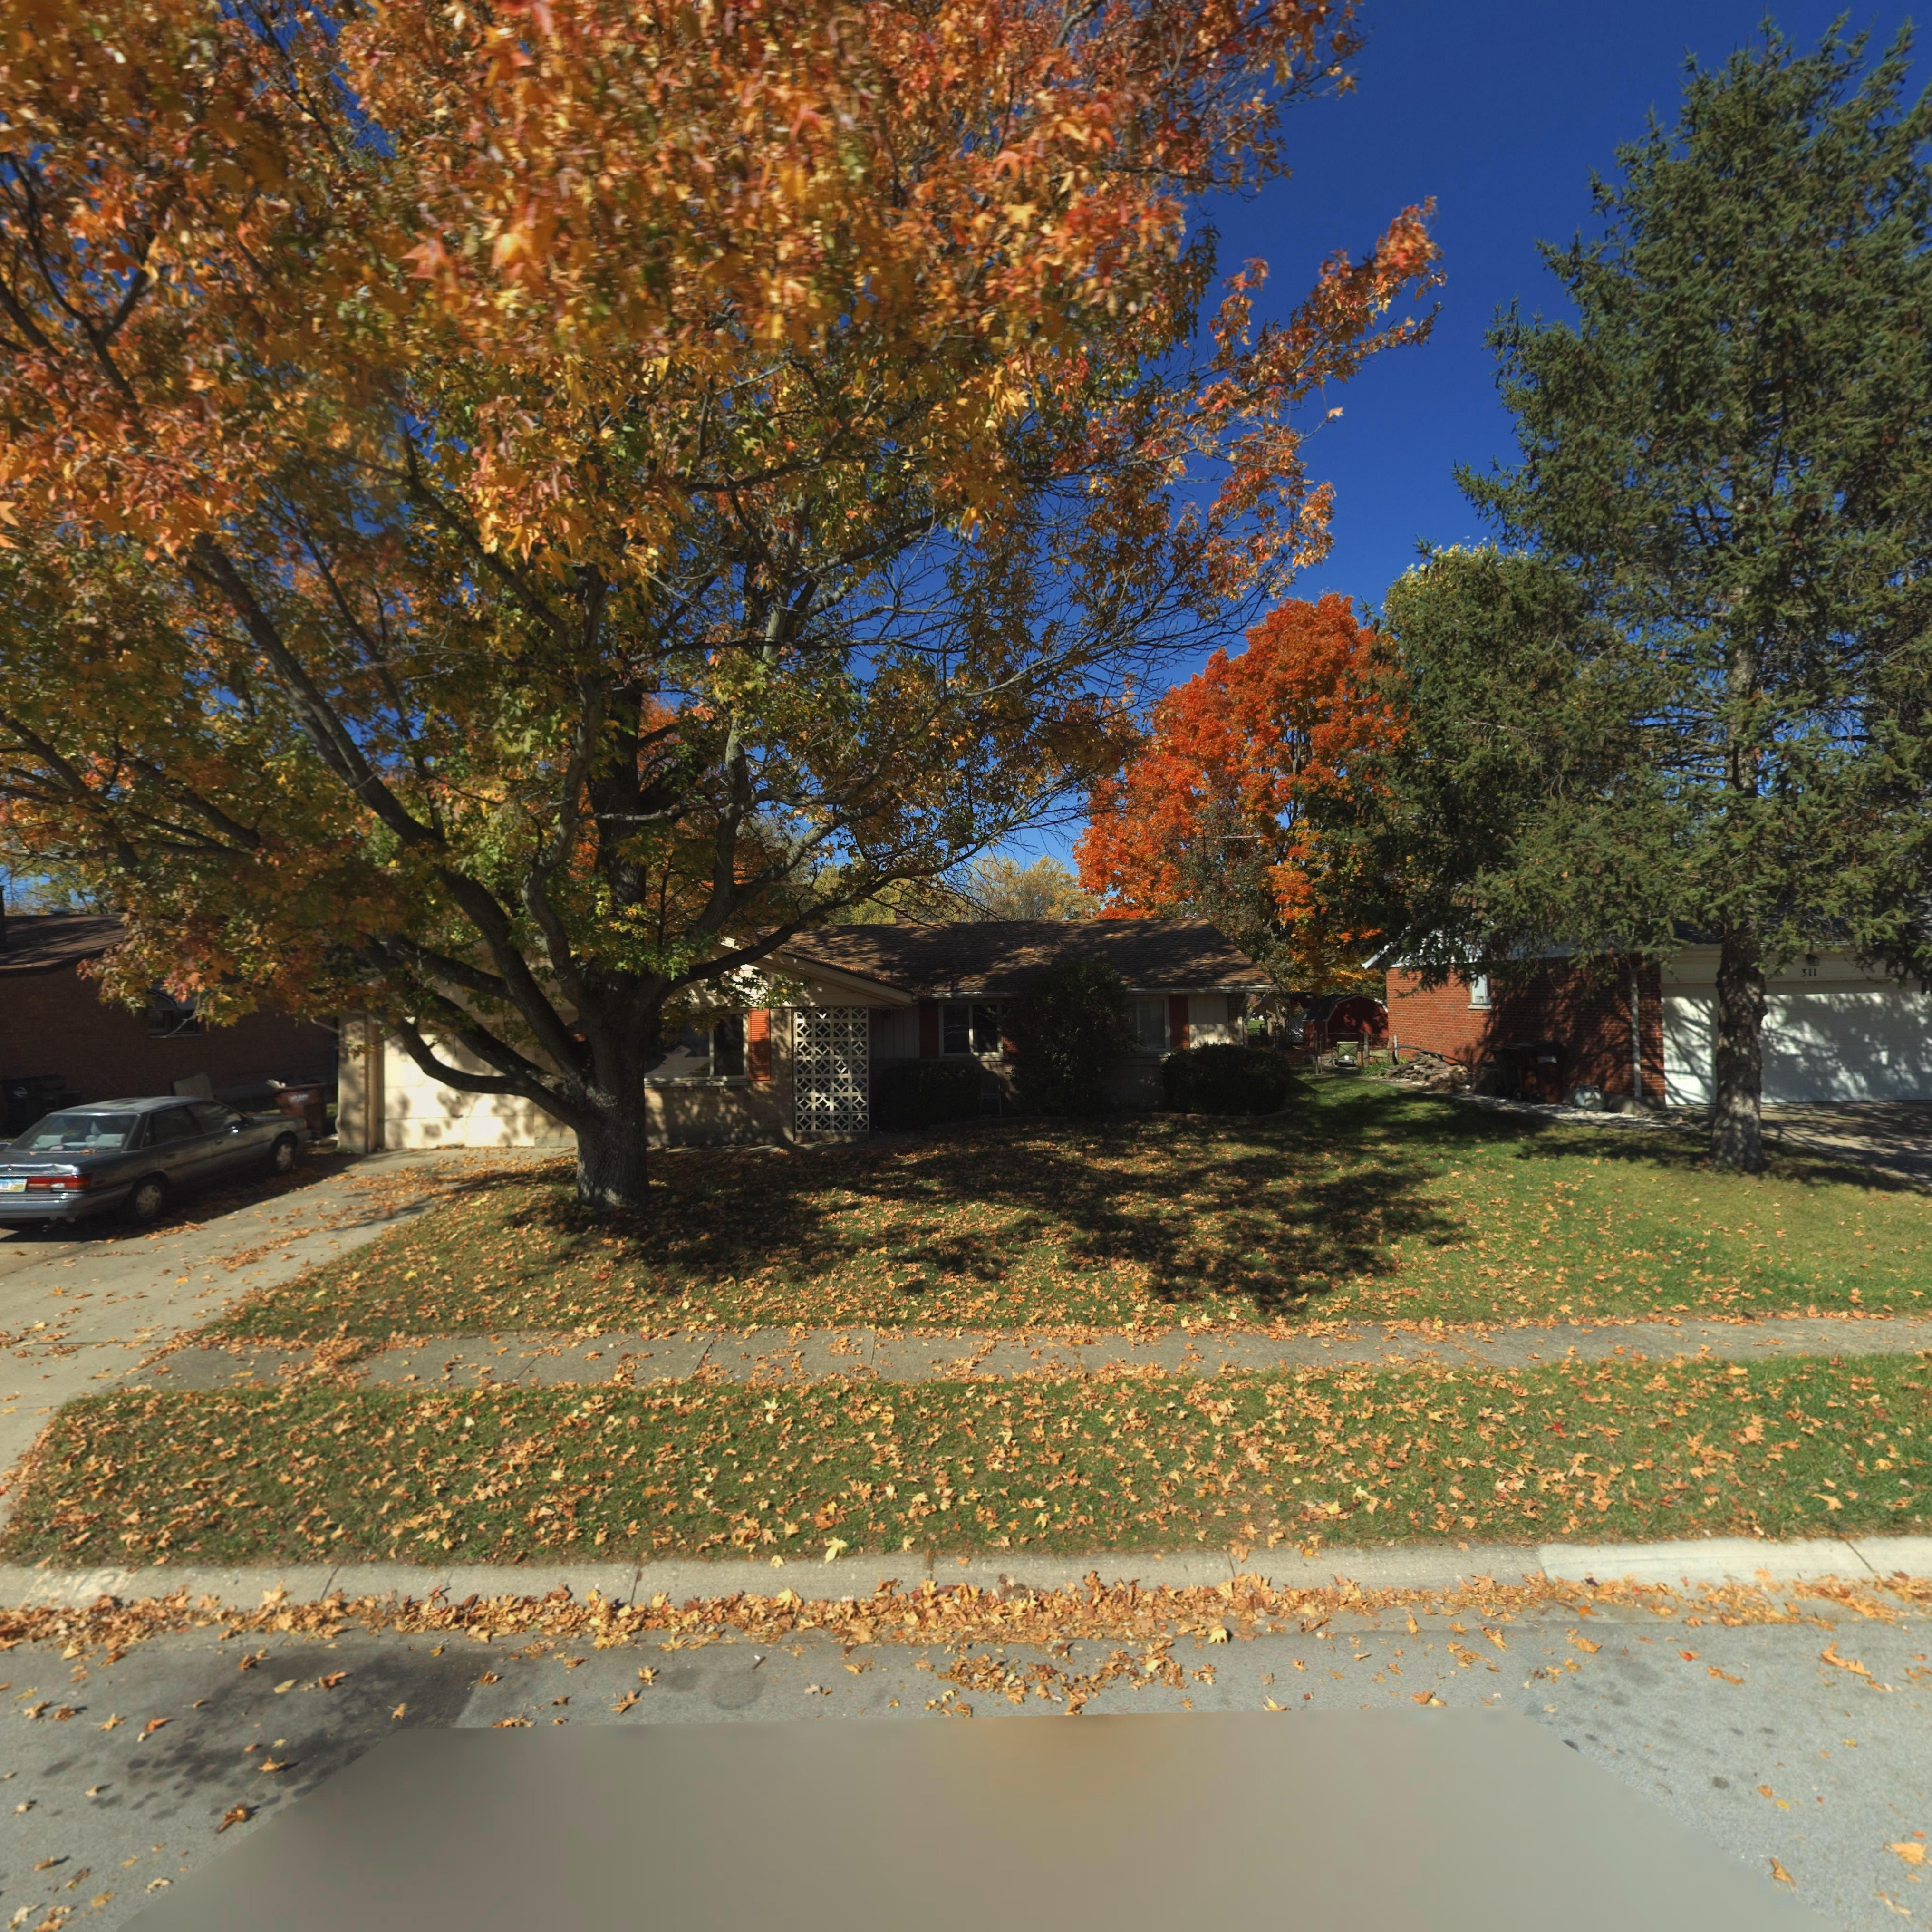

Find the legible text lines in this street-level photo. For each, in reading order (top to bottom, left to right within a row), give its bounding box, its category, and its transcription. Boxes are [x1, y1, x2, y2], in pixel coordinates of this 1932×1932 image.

[1799, 967, 1818, 978] StreetNumber: 311
[10, 1180, 15, 1189] None: 7